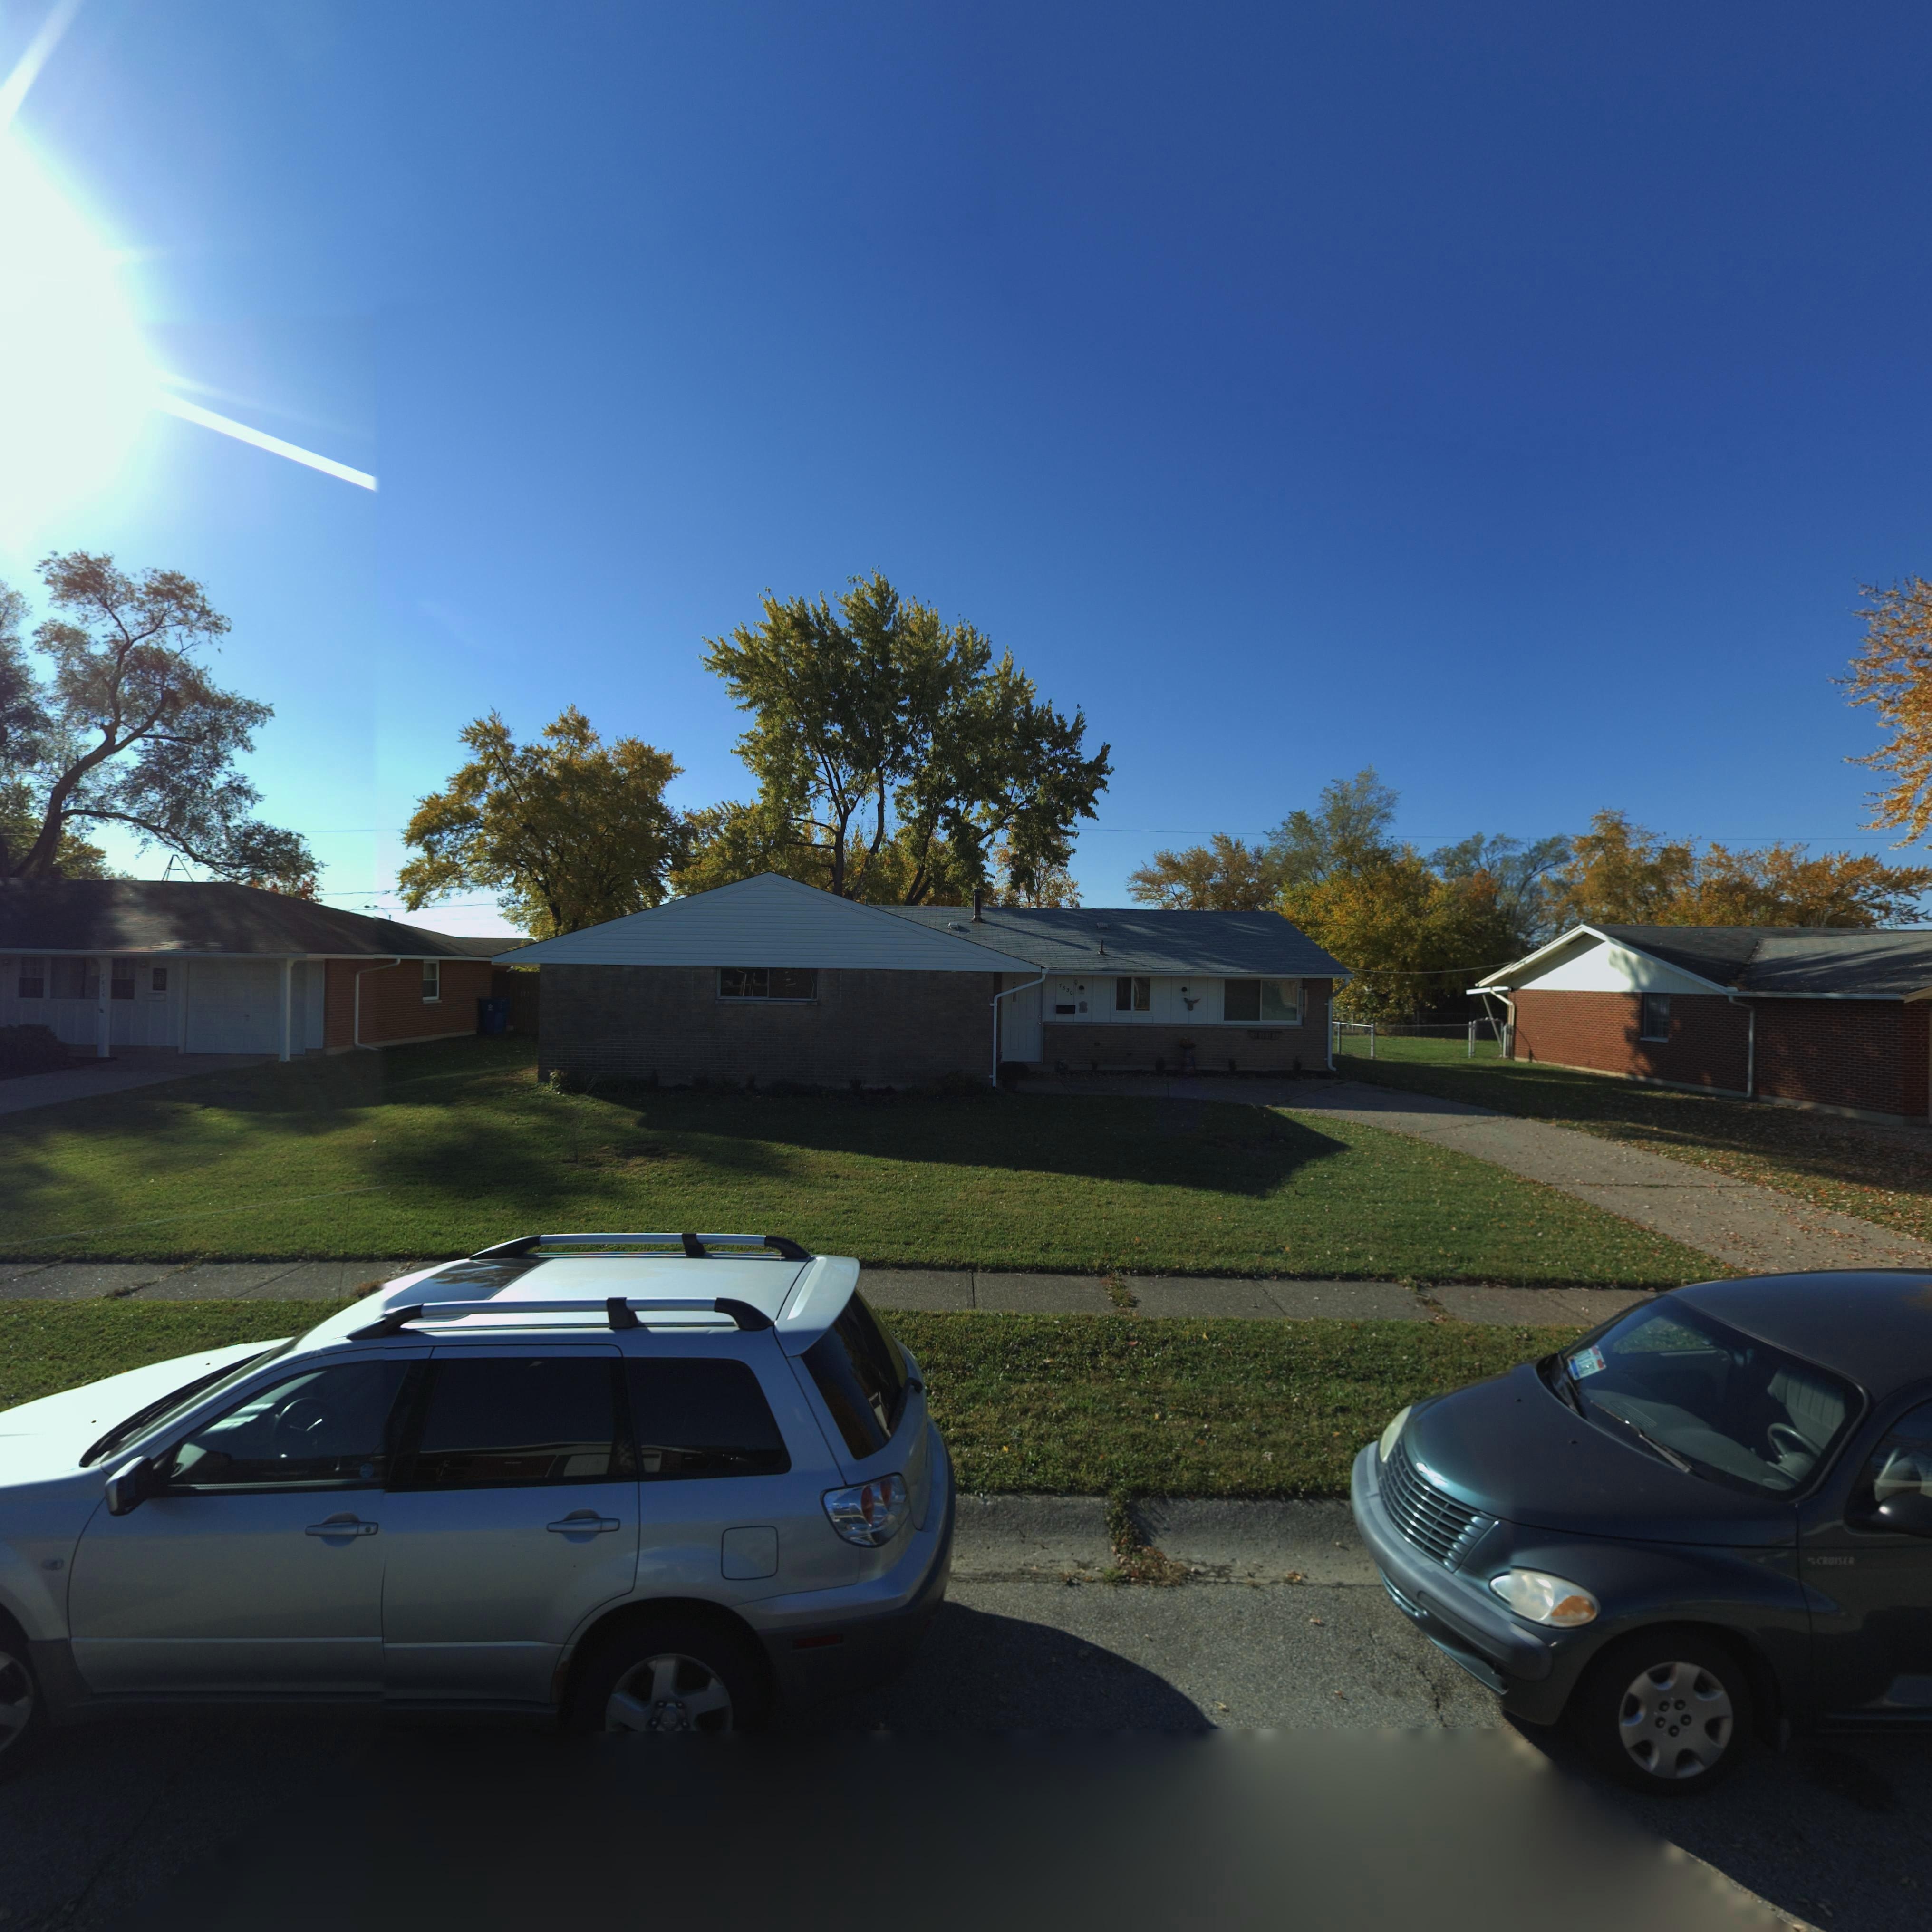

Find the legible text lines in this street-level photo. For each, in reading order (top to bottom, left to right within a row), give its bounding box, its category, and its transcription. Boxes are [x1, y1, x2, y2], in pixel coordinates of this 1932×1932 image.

[100, 972, 106, 998] StreetNumber: 7834
[1058, 983, 1073, 995] StreetNumber: 7830